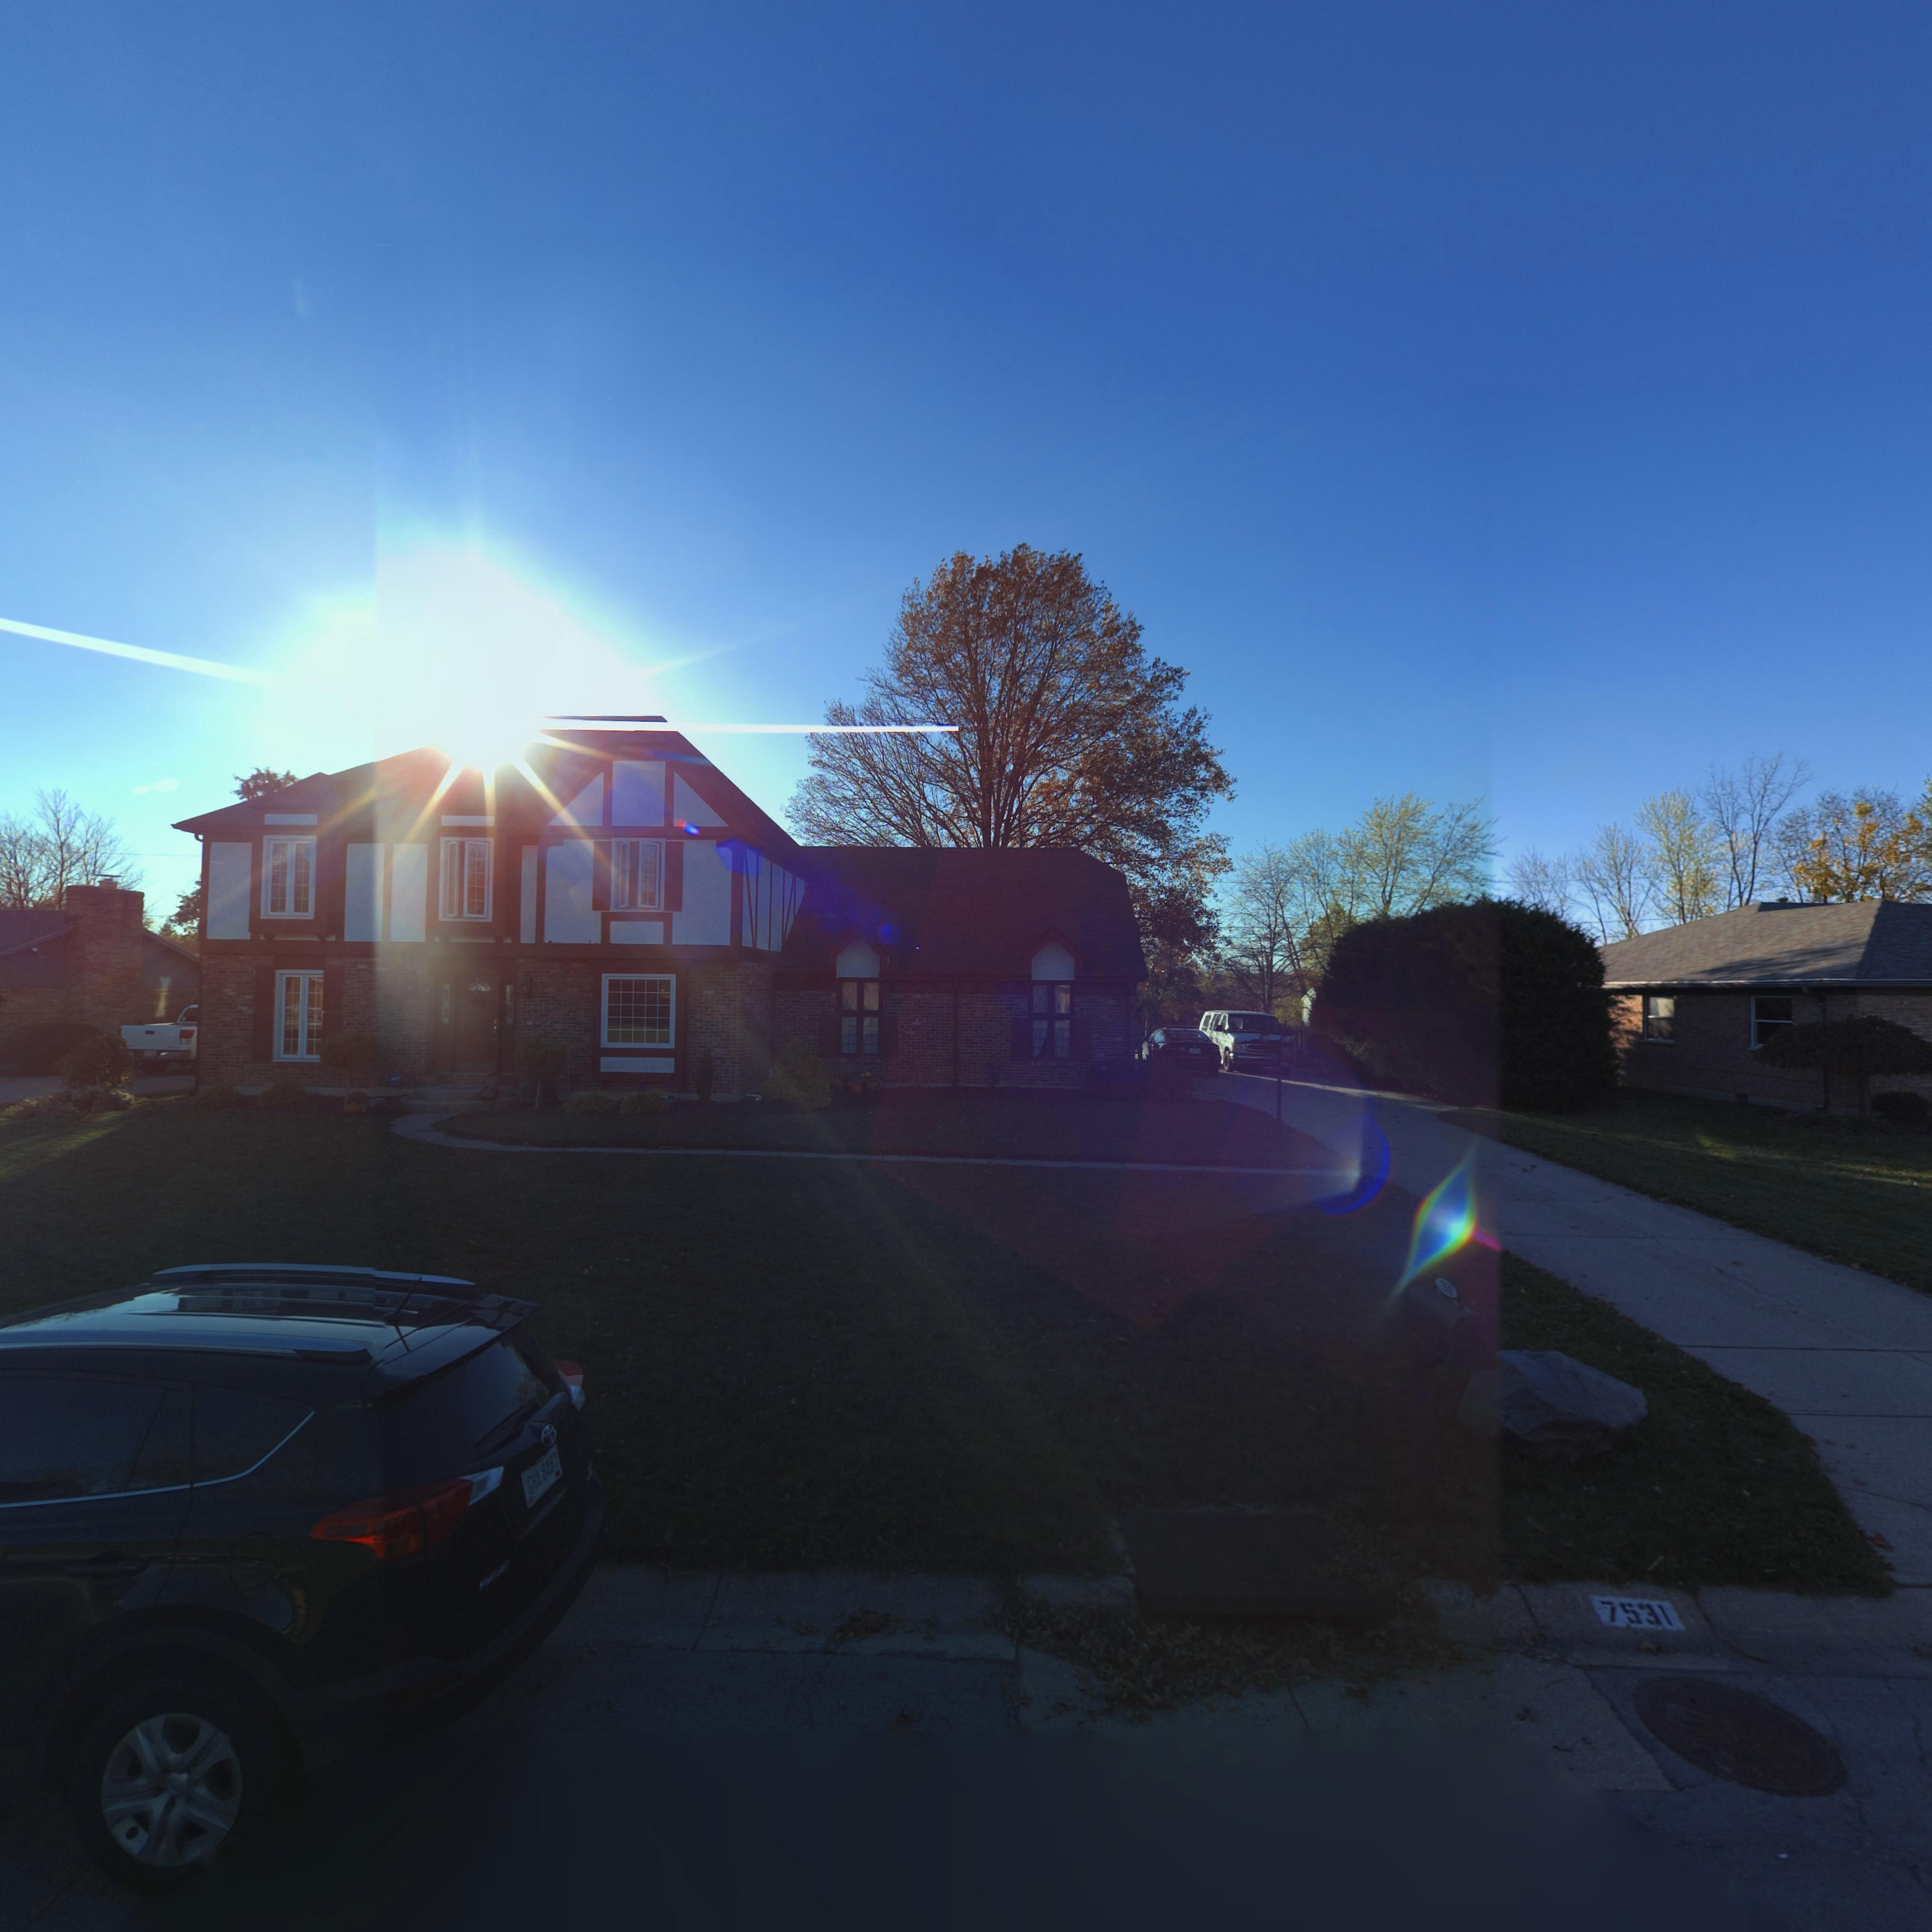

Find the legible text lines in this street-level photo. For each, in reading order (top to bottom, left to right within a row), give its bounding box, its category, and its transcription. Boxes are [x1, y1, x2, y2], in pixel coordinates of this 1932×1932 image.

[1598, 1598, 1676, 1627] StreetNumber: 7531